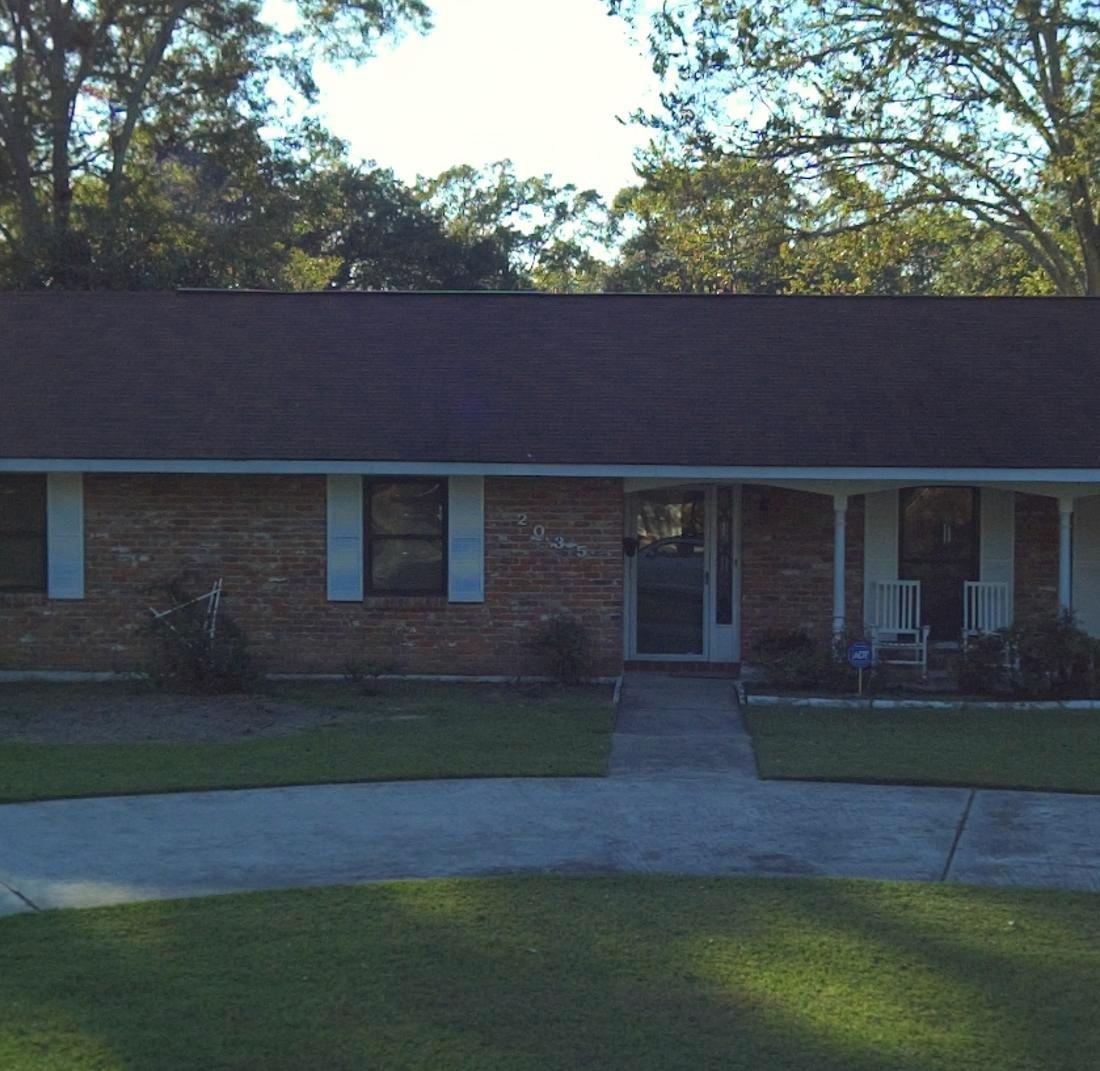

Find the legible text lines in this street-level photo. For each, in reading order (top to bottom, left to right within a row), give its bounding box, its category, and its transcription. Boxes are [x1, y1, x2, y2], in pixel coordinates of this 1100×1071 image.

[516, 511, 590, 560] StreetNumber: 2035
[849, 649, 872, 660] None: ADT